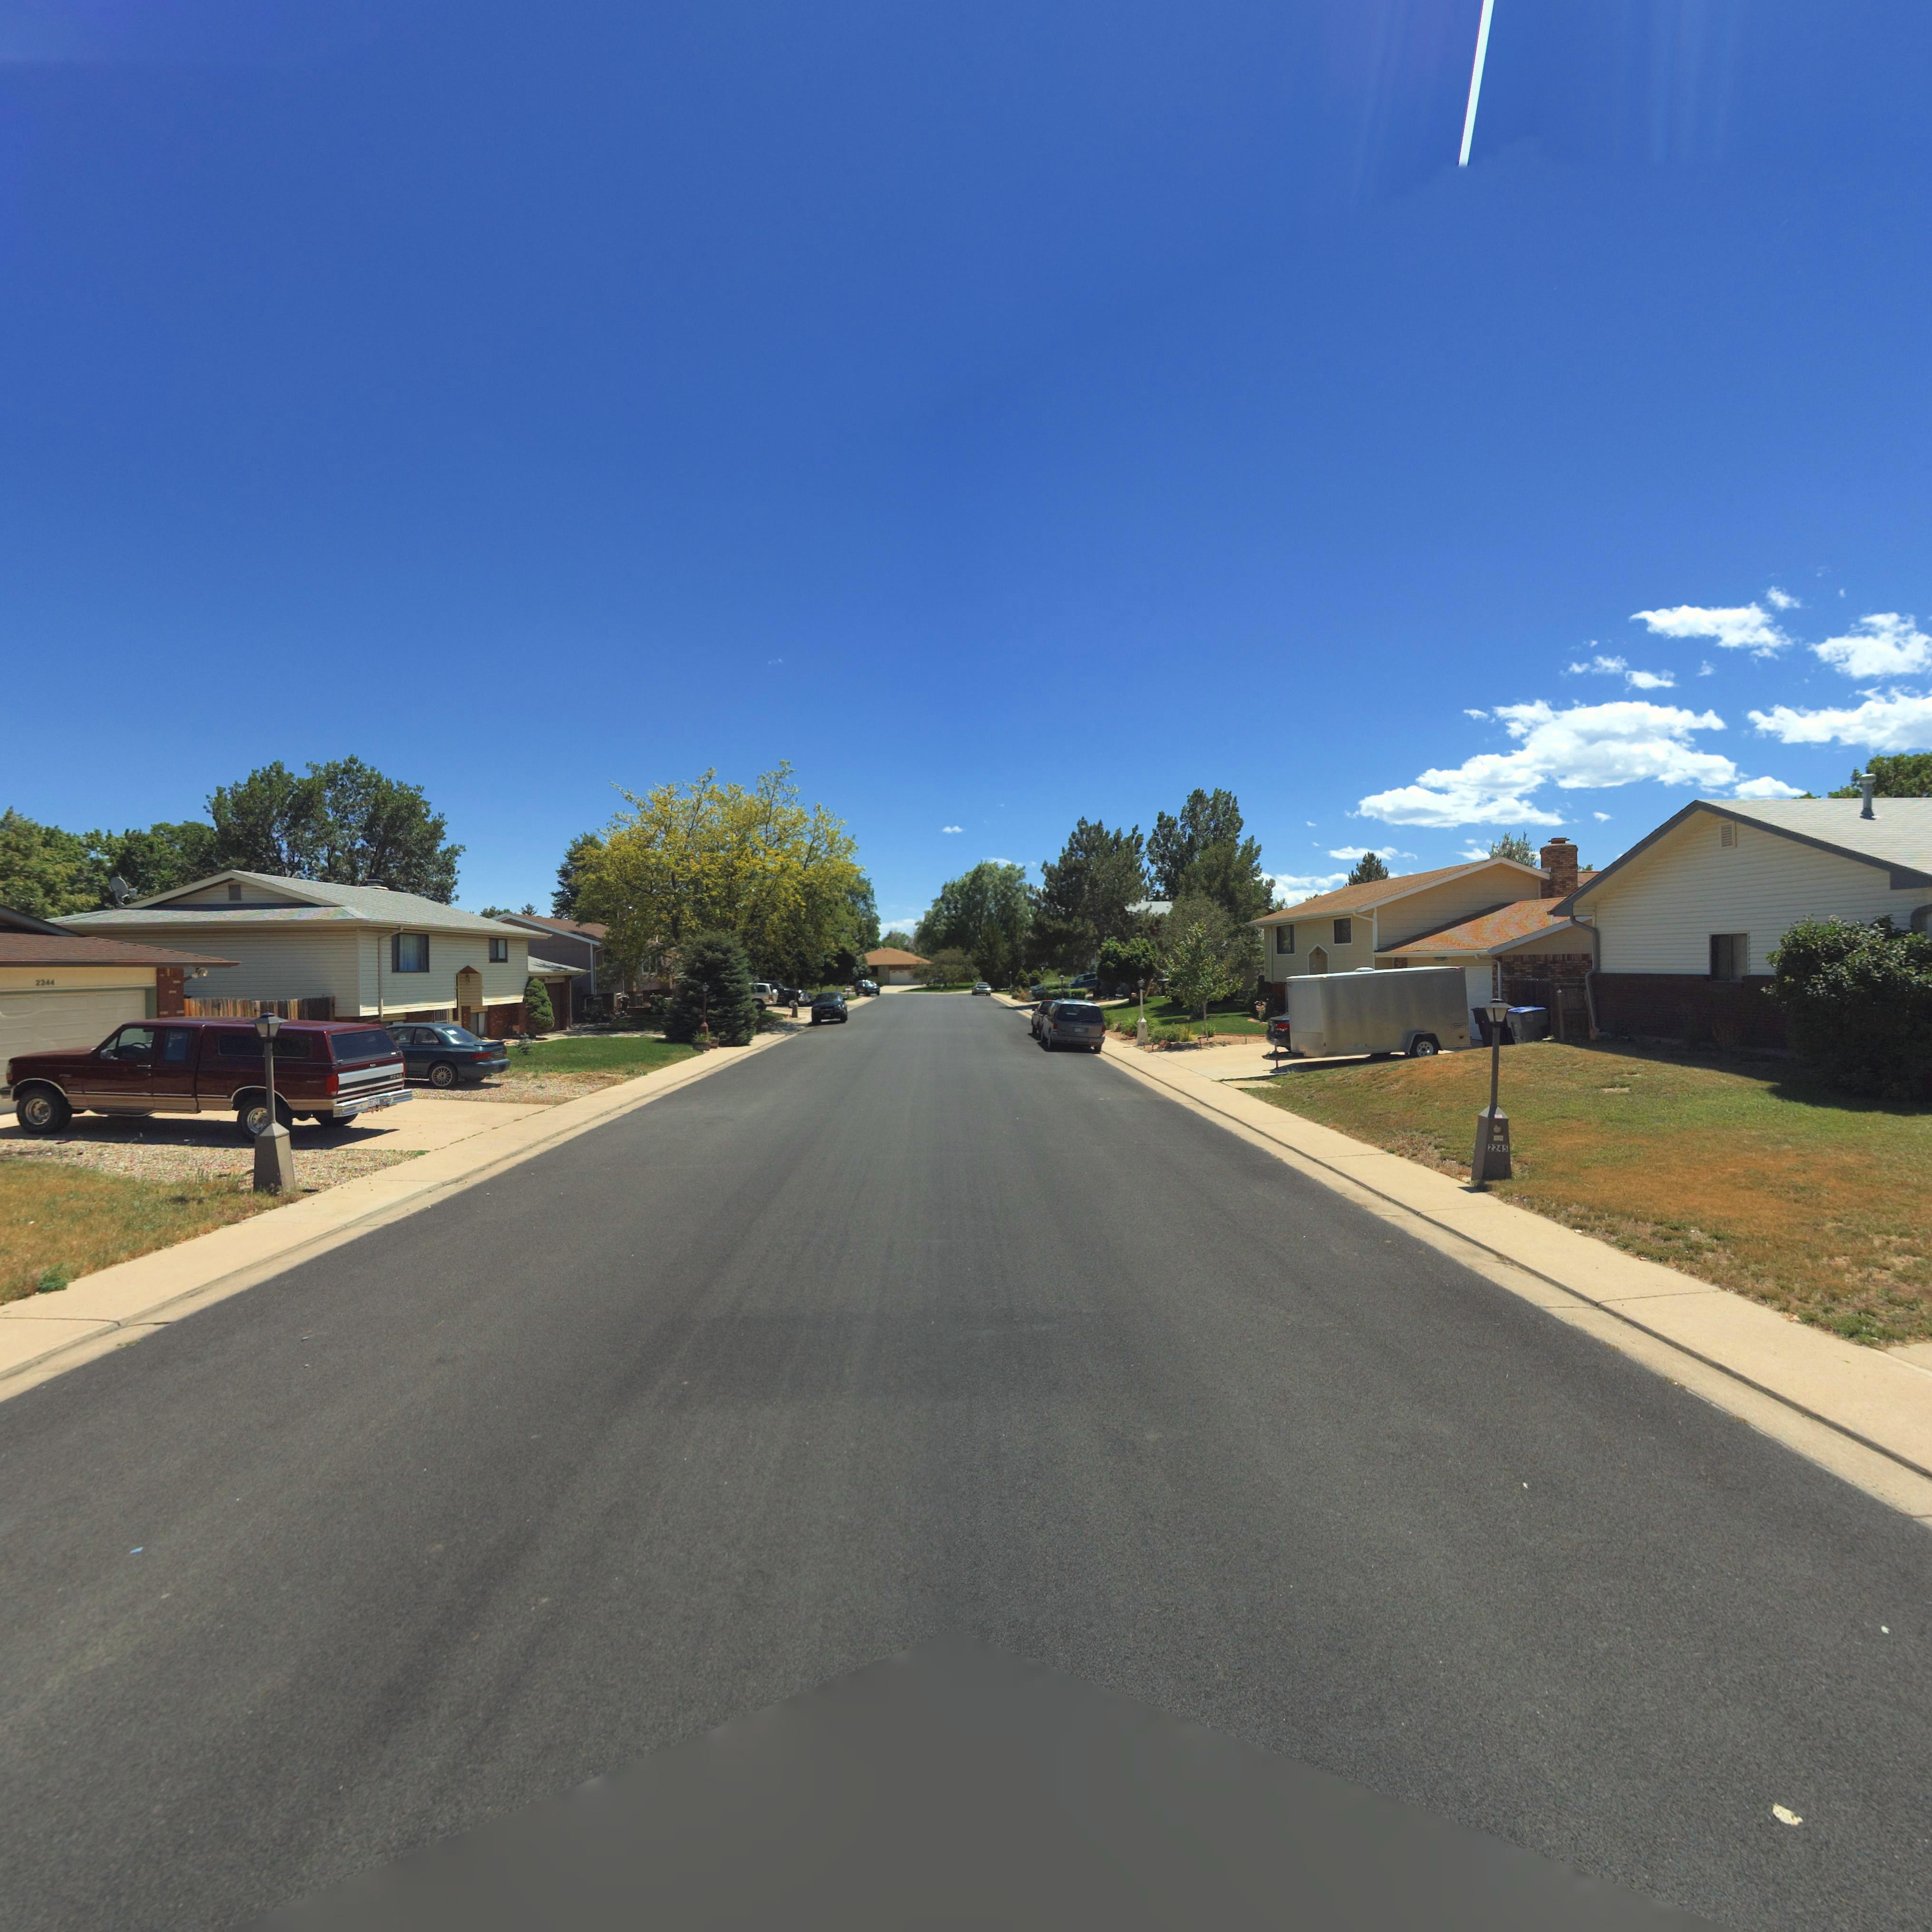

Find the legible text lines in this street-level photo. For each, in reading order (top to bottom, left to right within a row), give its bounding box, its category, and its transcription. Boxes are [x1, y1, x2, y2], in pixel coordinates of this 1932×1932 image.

[35, 979, 55, 985] StreetNumber: 2244
[1488, 1144, 1508, 1151] StreetNumber: 2245